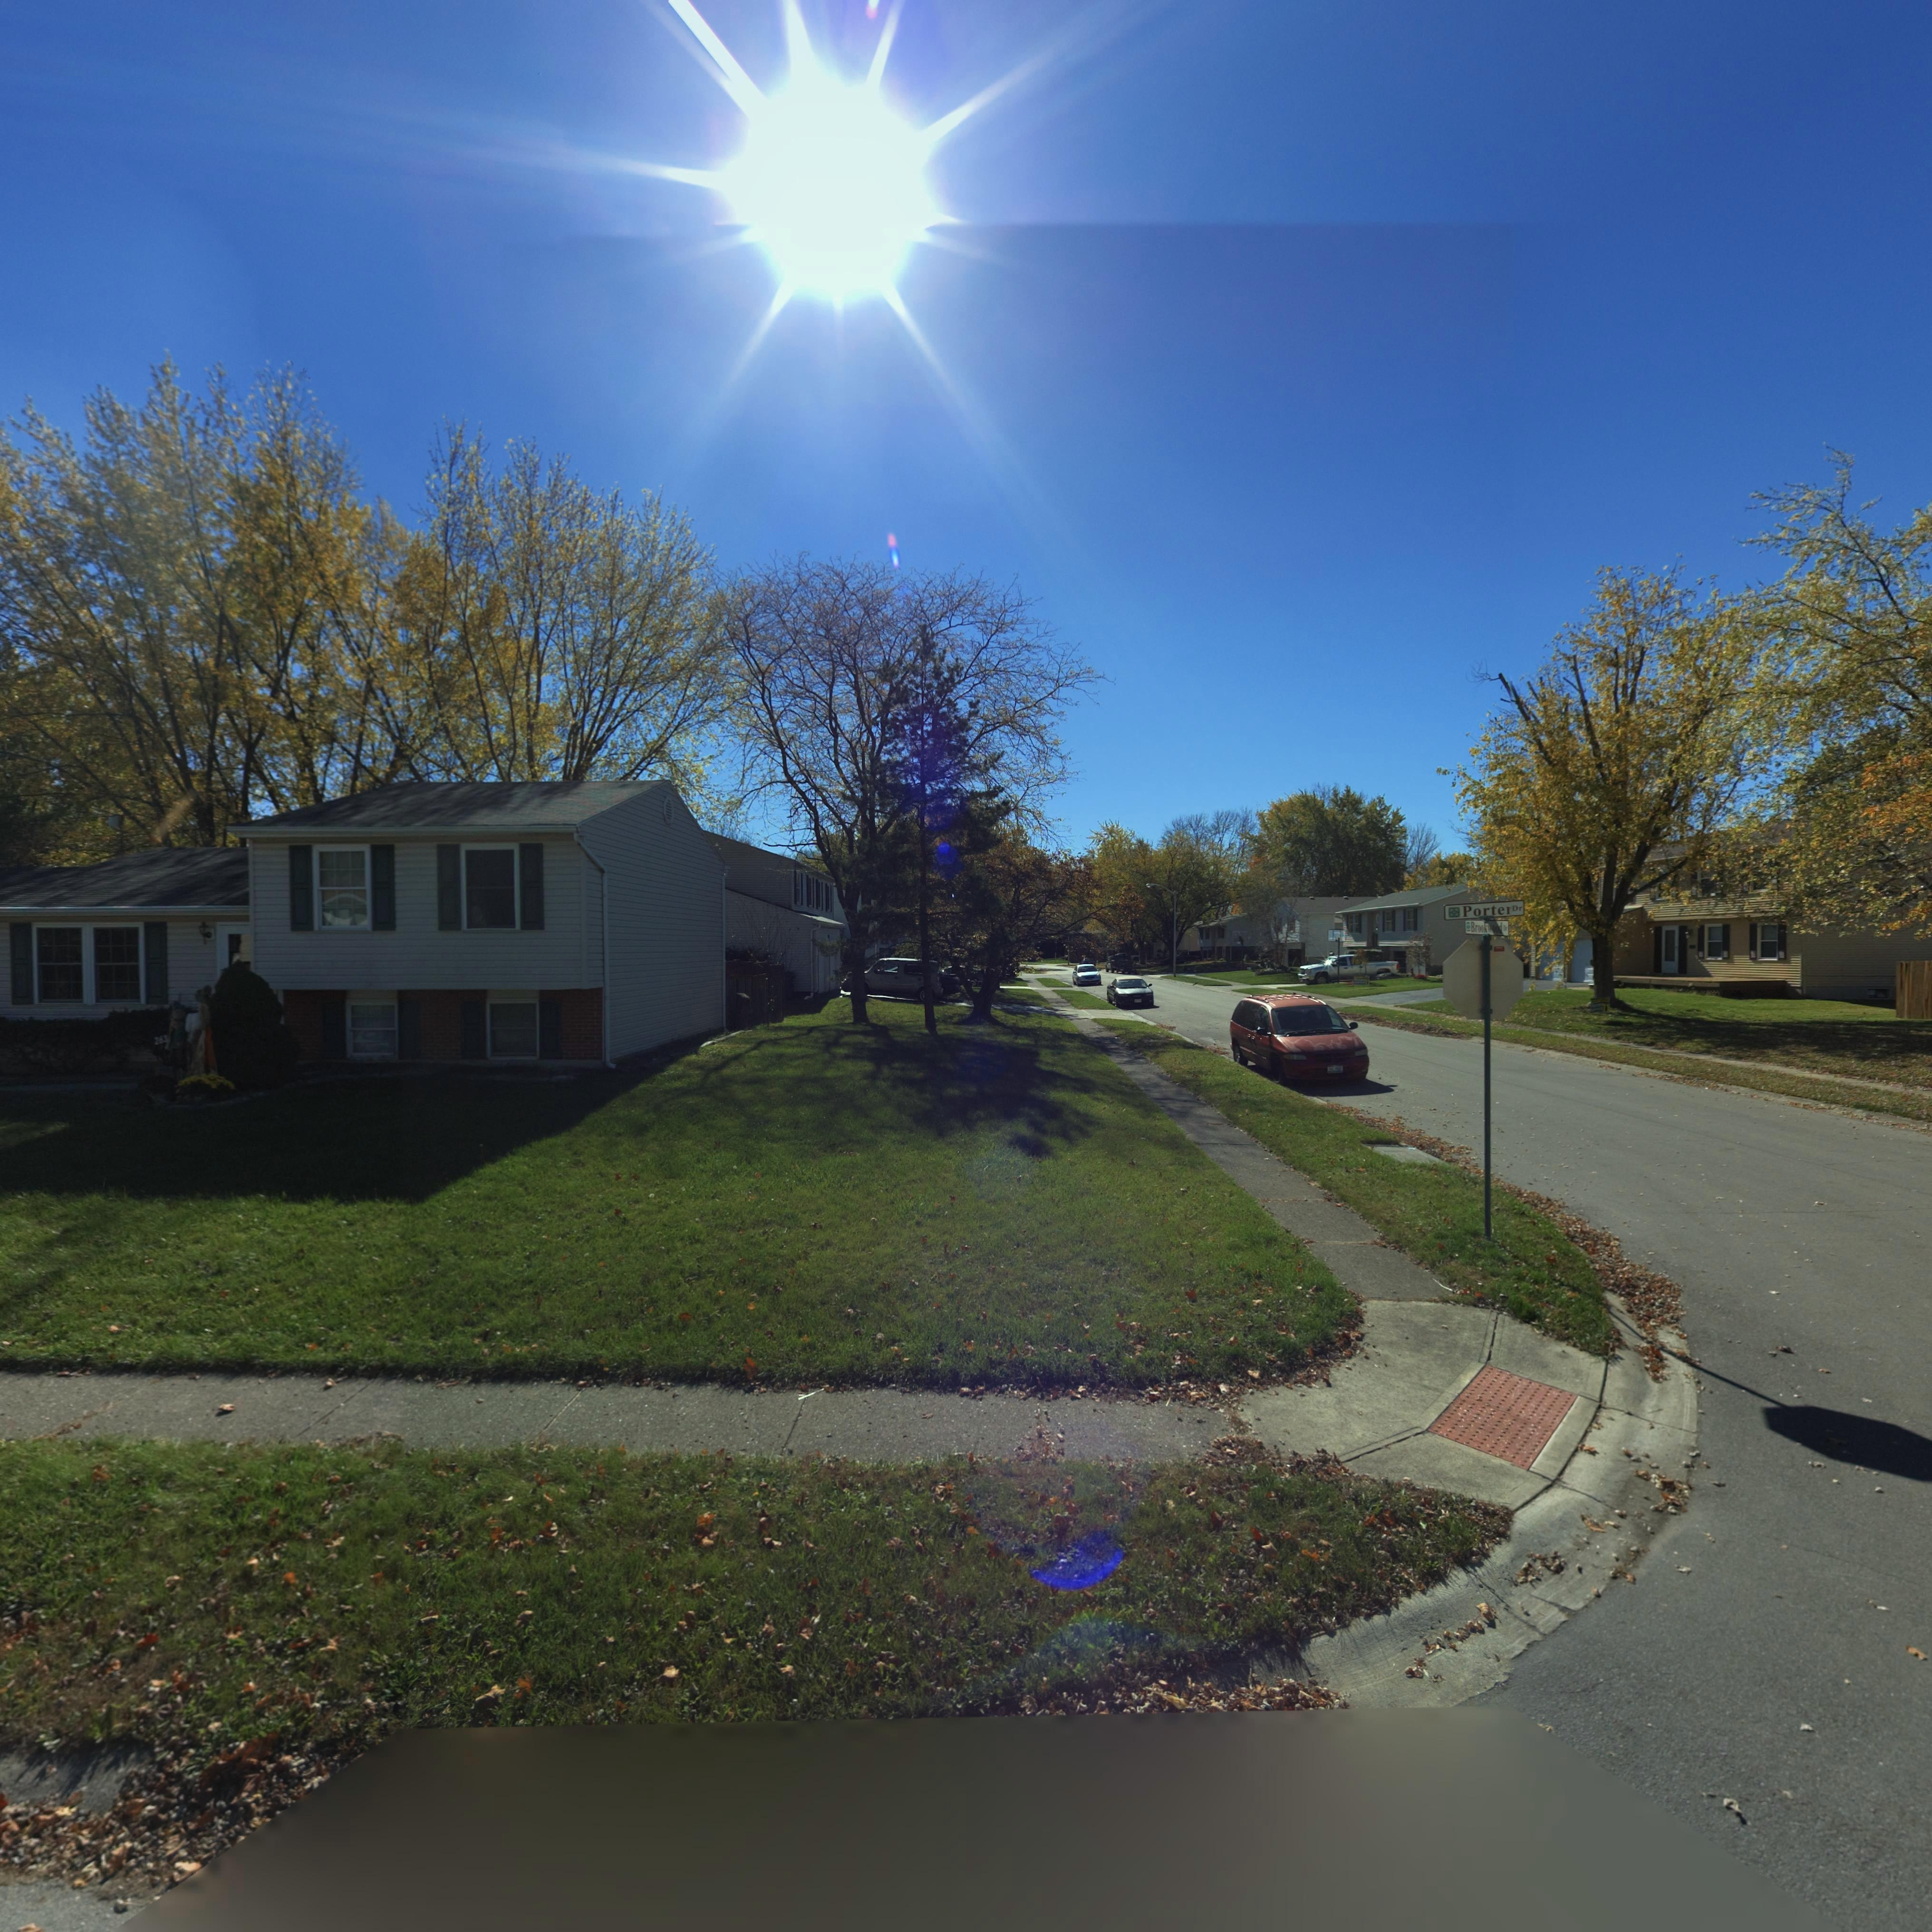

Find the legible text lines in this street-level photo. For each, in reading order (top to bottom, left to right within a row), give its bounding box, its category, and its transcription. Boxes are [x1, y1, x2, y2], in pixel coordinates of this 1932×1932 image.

[1461, 904, 1524, 918] StreetName: Porter Dr 
[1470, 920, 1509, 935] StreetName: Brookwood Dr
[154, 1034, 170, 1046] StreetNumber: 263